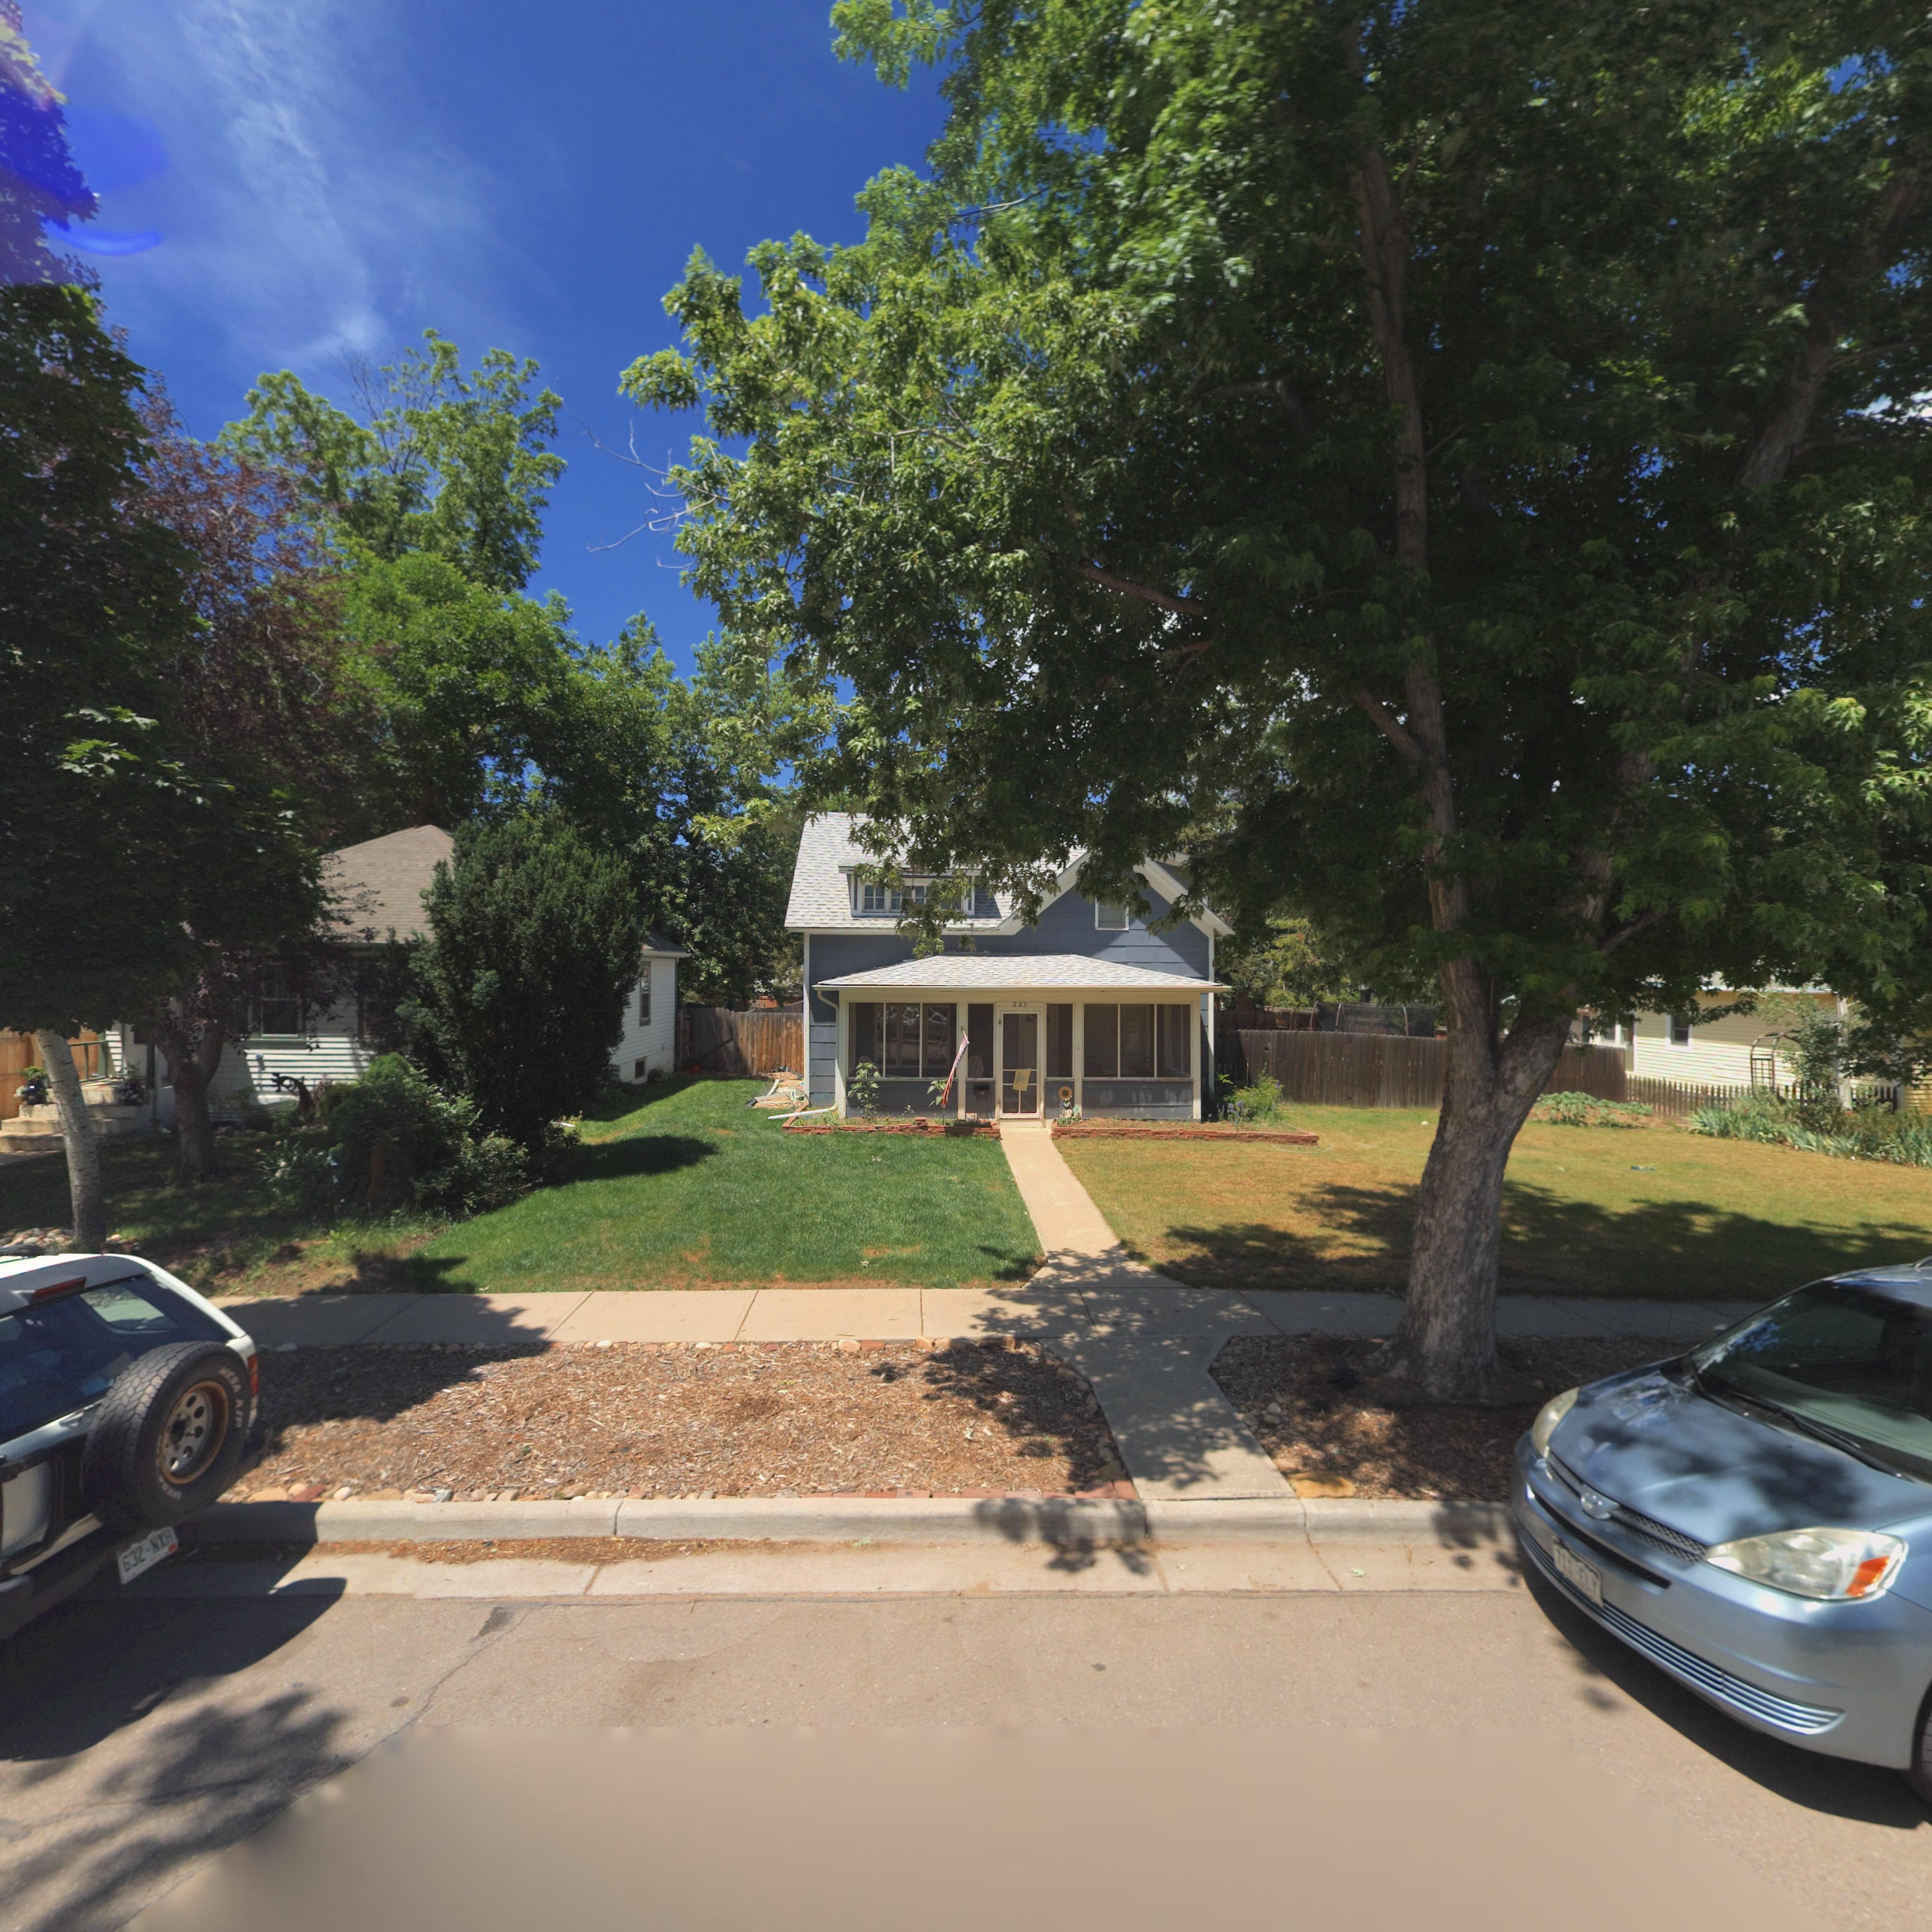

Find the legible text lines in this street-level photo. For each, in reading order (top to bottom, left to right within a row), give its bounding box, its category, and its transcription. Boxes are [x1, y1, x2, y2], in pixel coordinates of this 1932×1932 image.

[1013, 1002, 1027, 1006] StreetNumber: 227